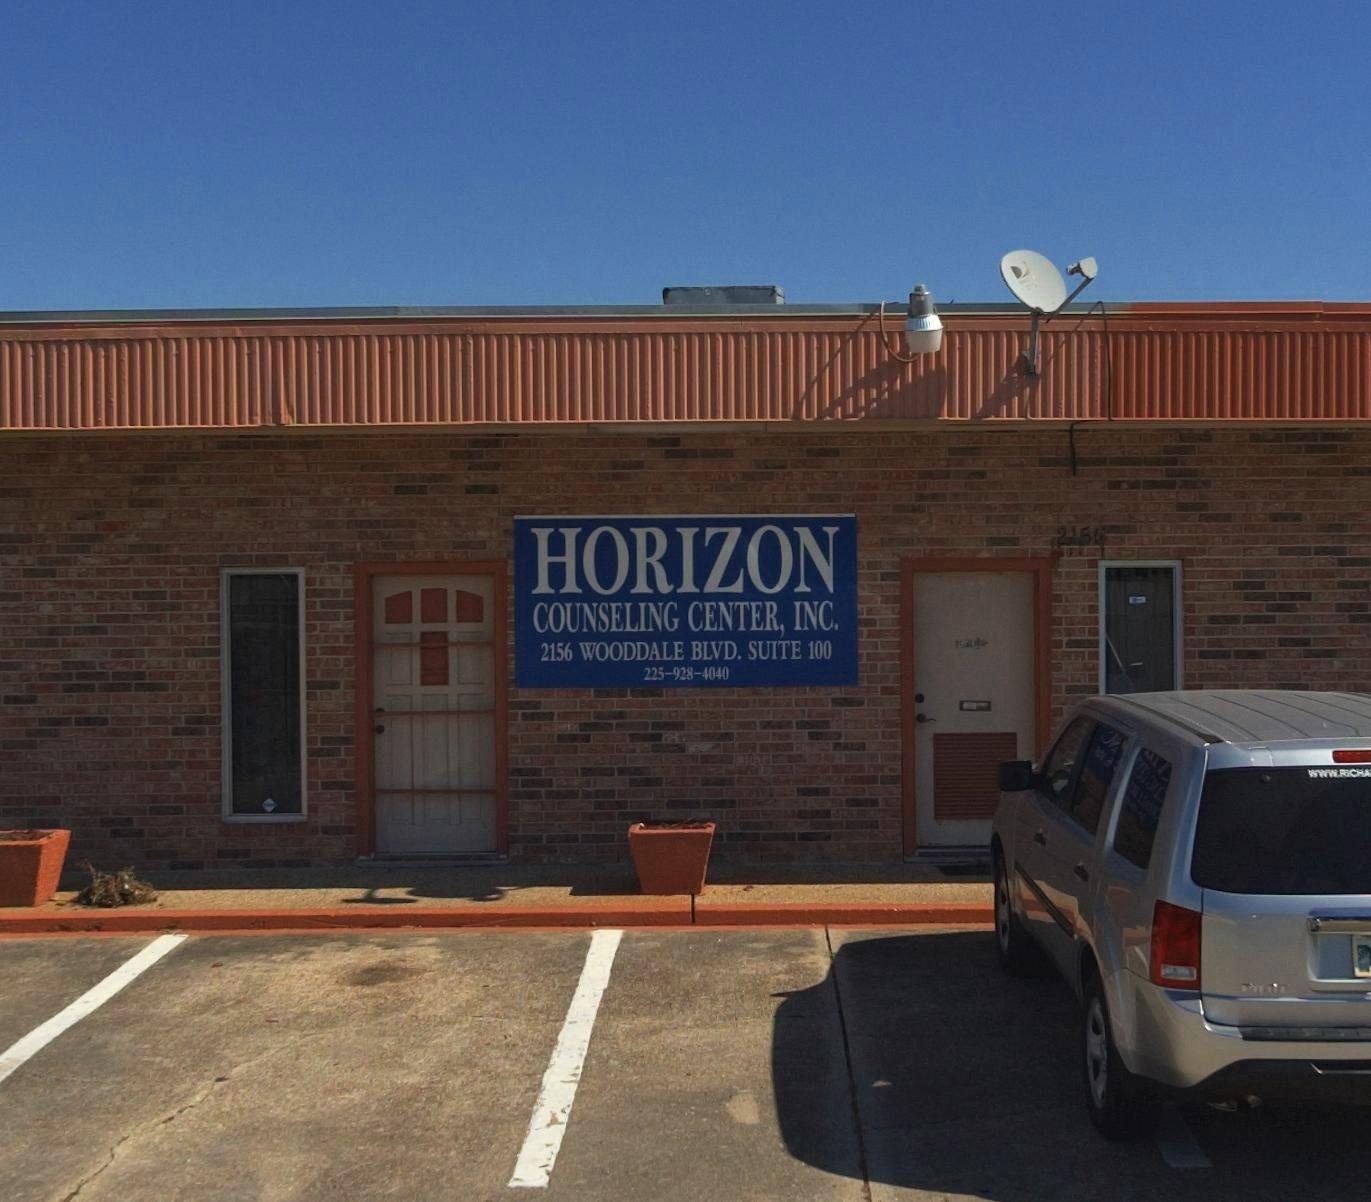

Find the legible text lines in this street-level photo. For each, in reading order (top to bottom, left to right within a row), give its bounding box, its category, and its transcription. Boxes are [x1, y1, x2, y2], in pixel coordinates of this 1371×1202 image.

[527, 523, 844, 598] BusinessName: HORIZON
[530, 597, 841, 641] BusinessName: COUNSELING CENTER, INC.
[538, 639, 575, 664] StreetNumber: 2156
[575, 639, 744, 663] StreetName: WOODDALE BLVD.
[745, 637, 834, 663] SecondaryUnitDesignator: SUITE 100
[641, 664, 732, 683] None: 225-928-4040
[1302, 766, 1369, 781] None: WWW.R*C*